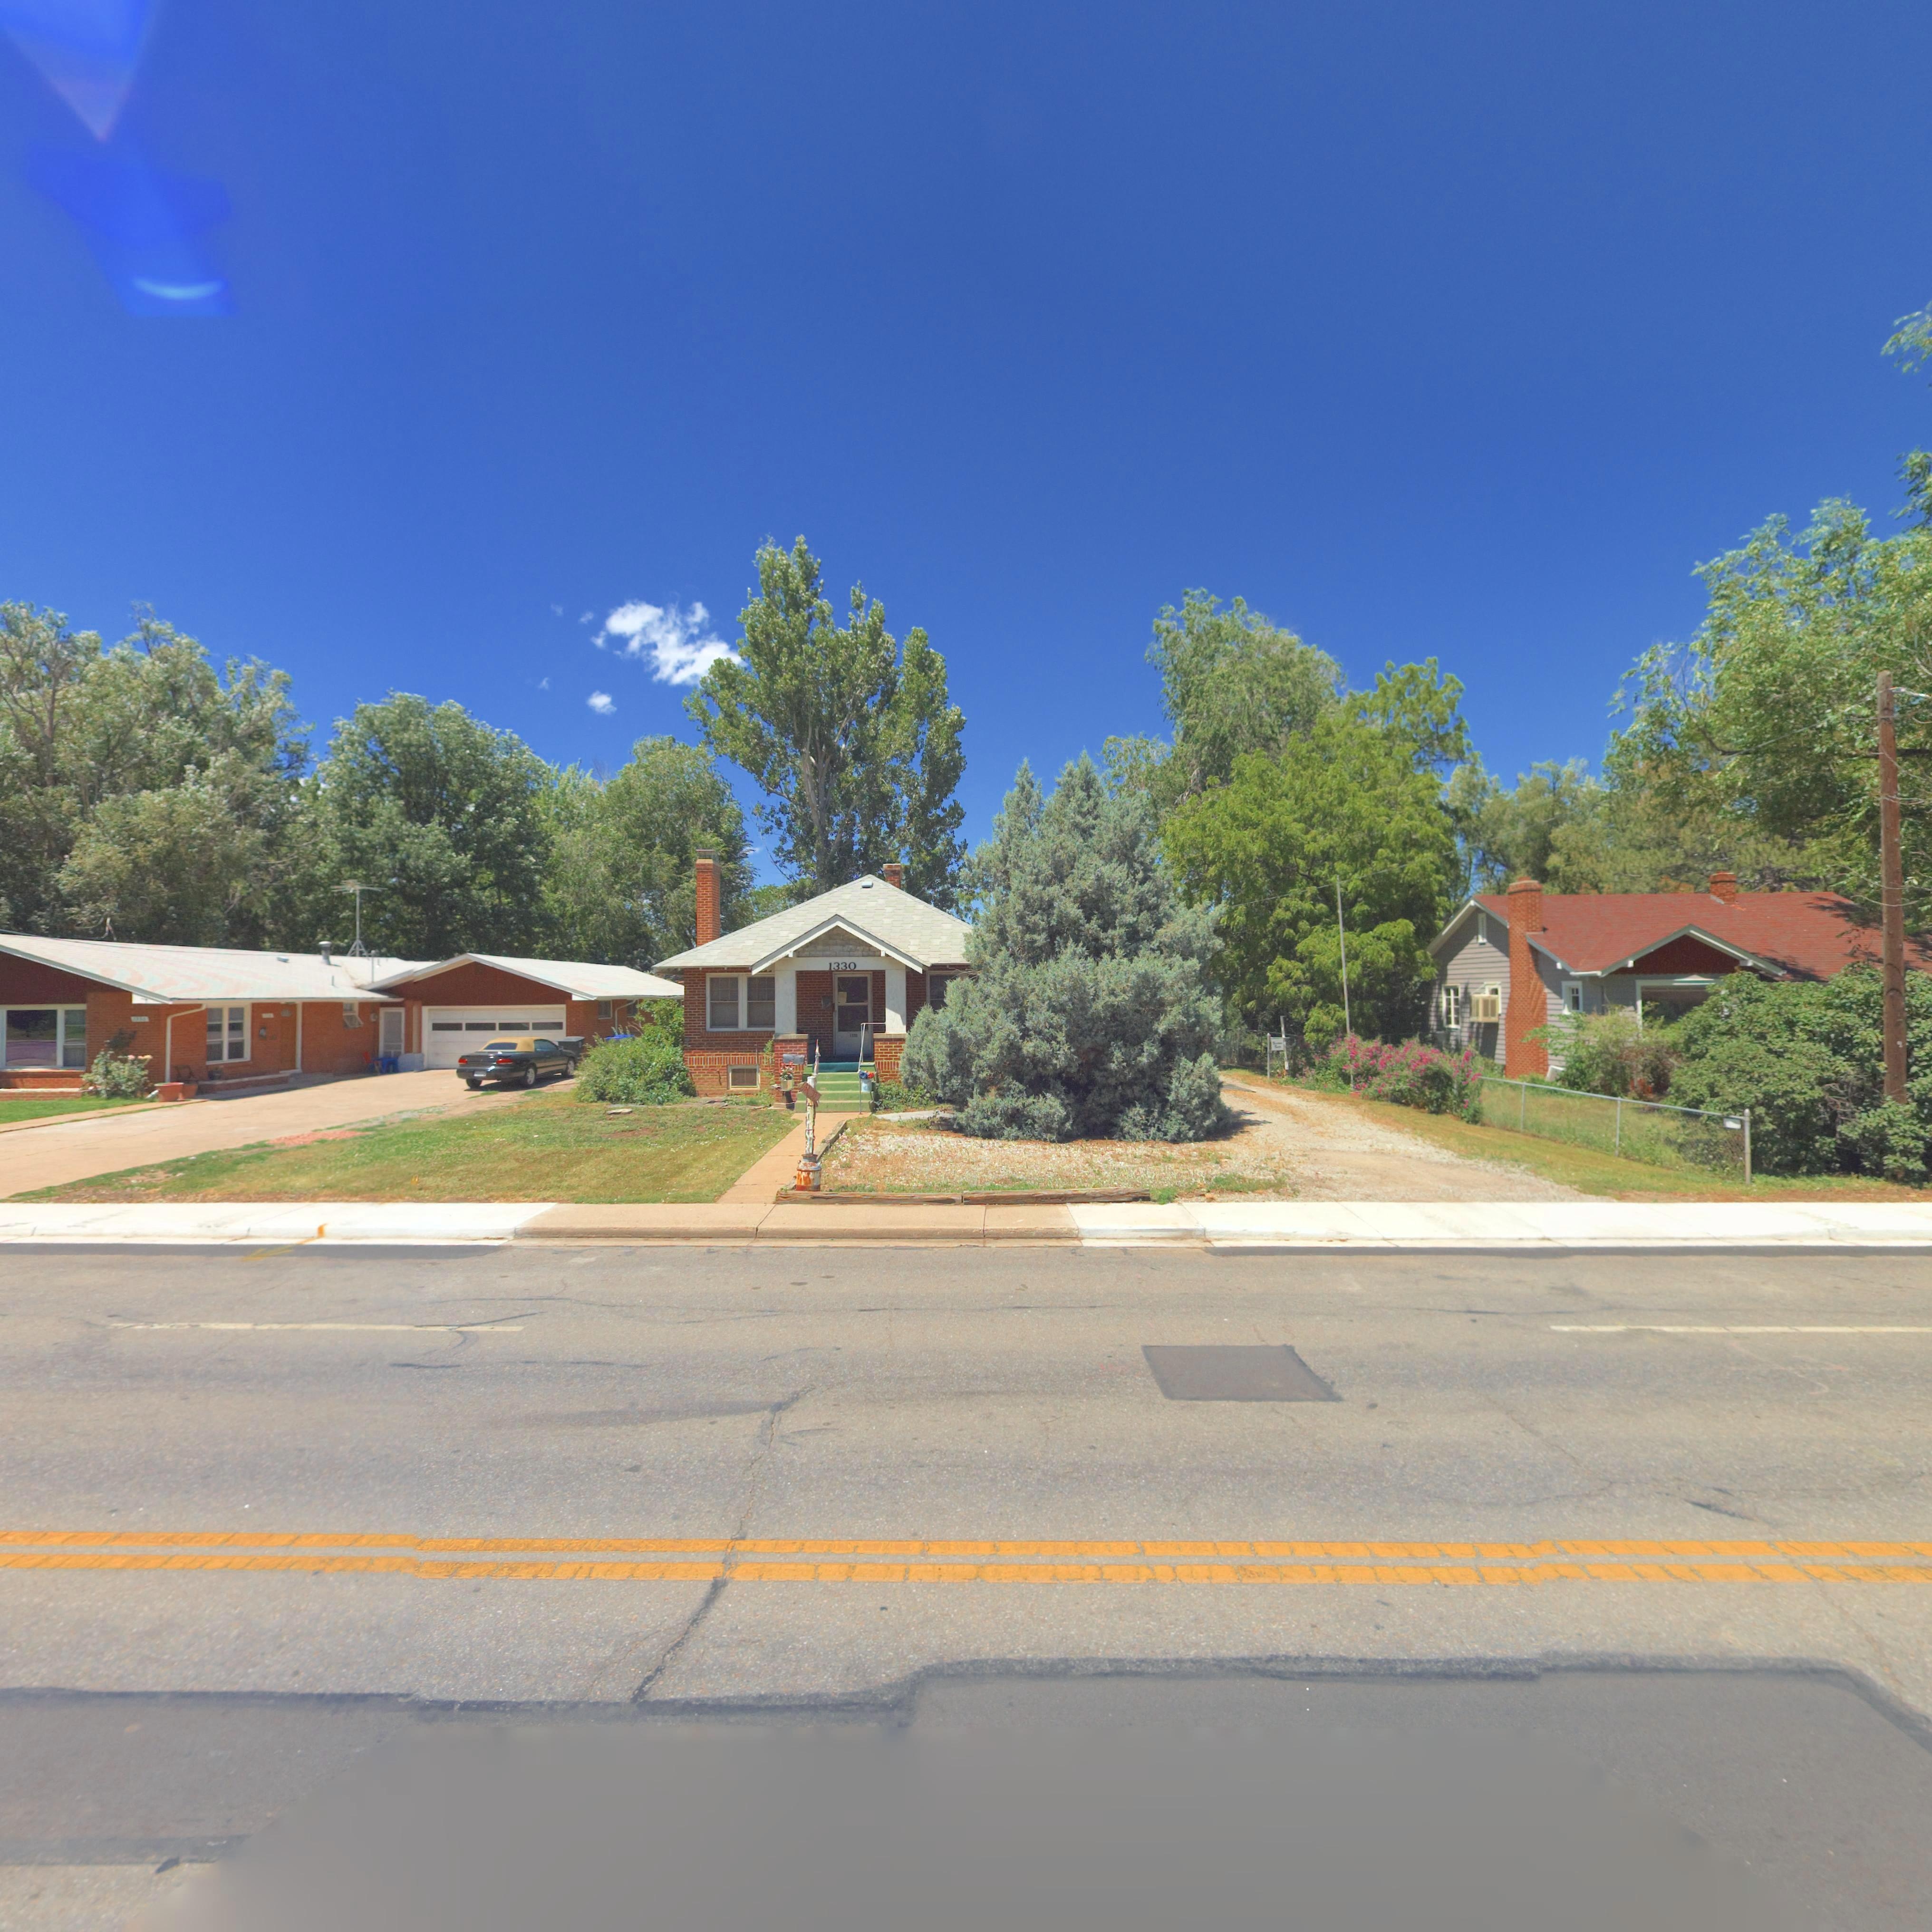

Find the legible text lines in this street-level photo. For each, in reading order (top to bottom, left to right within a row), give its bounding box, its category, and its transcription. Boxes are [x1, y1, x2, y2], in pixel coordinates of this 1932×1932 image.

[829, 962, 856, 970] StreetNumber: 1330
[850, 1034, 858, 1037] StreetNumber: 1330